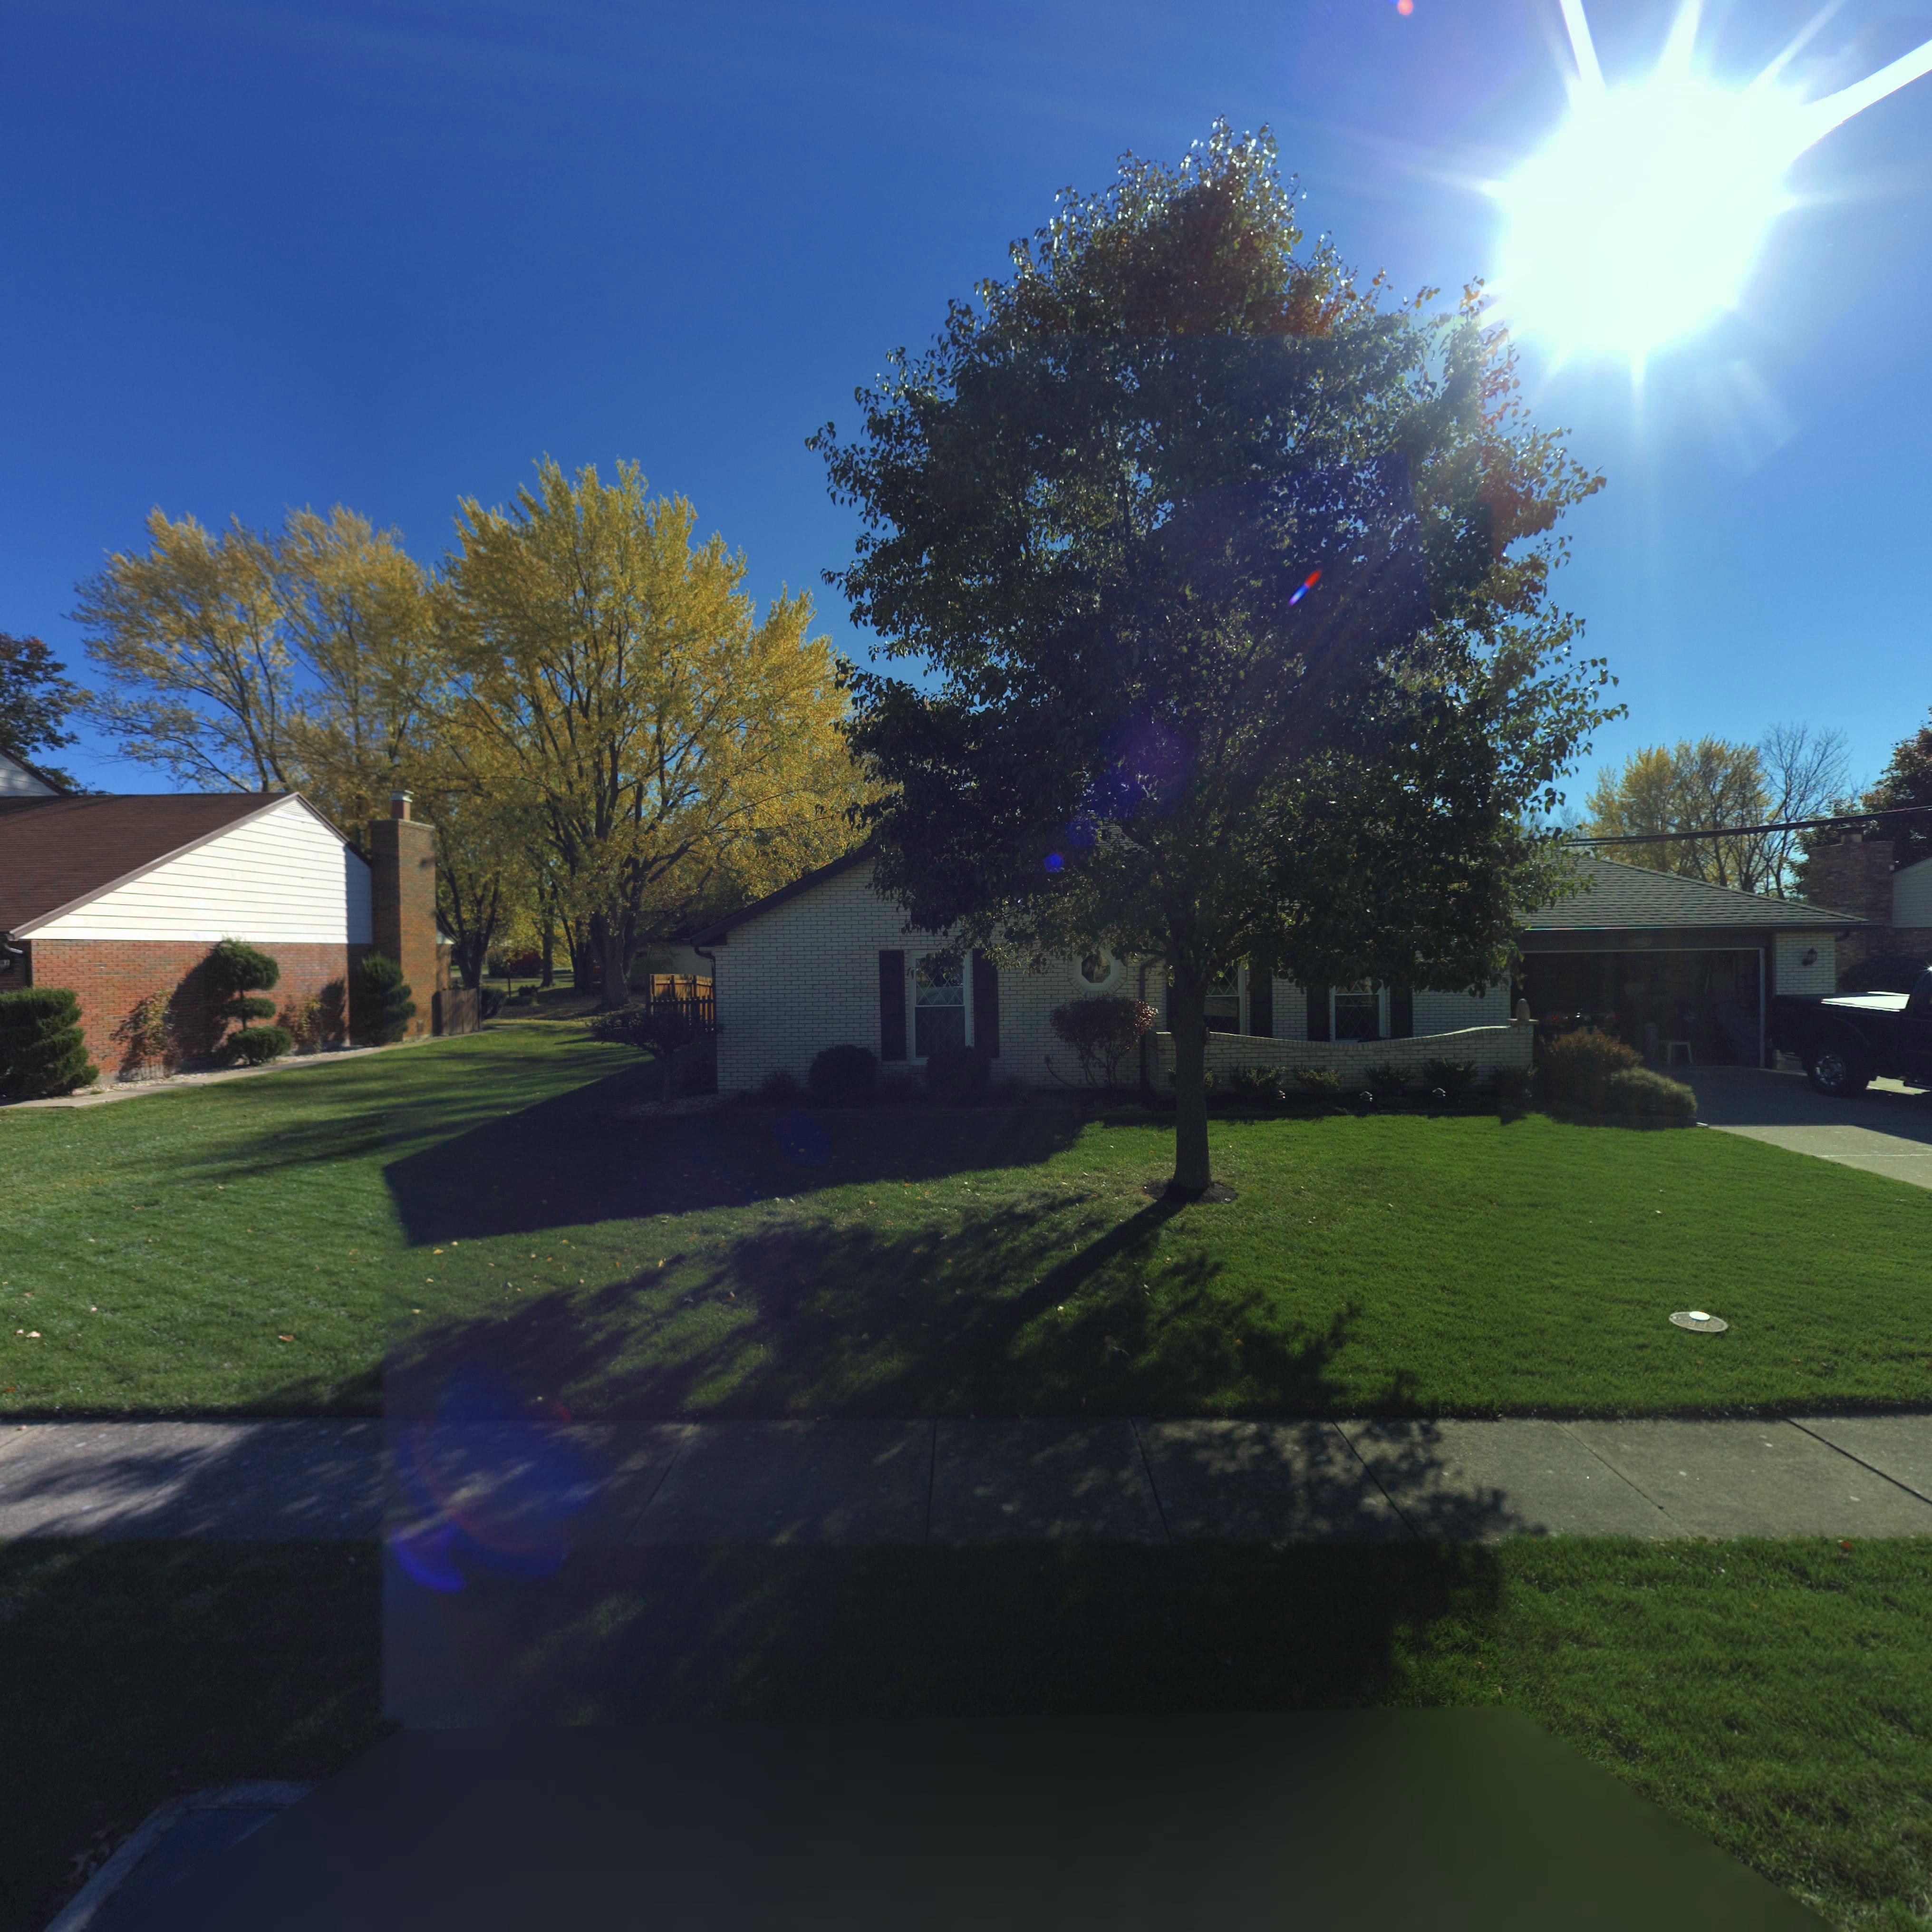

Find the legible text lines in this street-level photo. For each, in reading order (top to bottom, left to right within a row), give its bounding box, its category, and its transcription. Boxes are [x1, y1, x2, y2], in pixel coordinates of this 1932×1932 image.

[1631, 937, 1648, 945] StreetNumber: **32